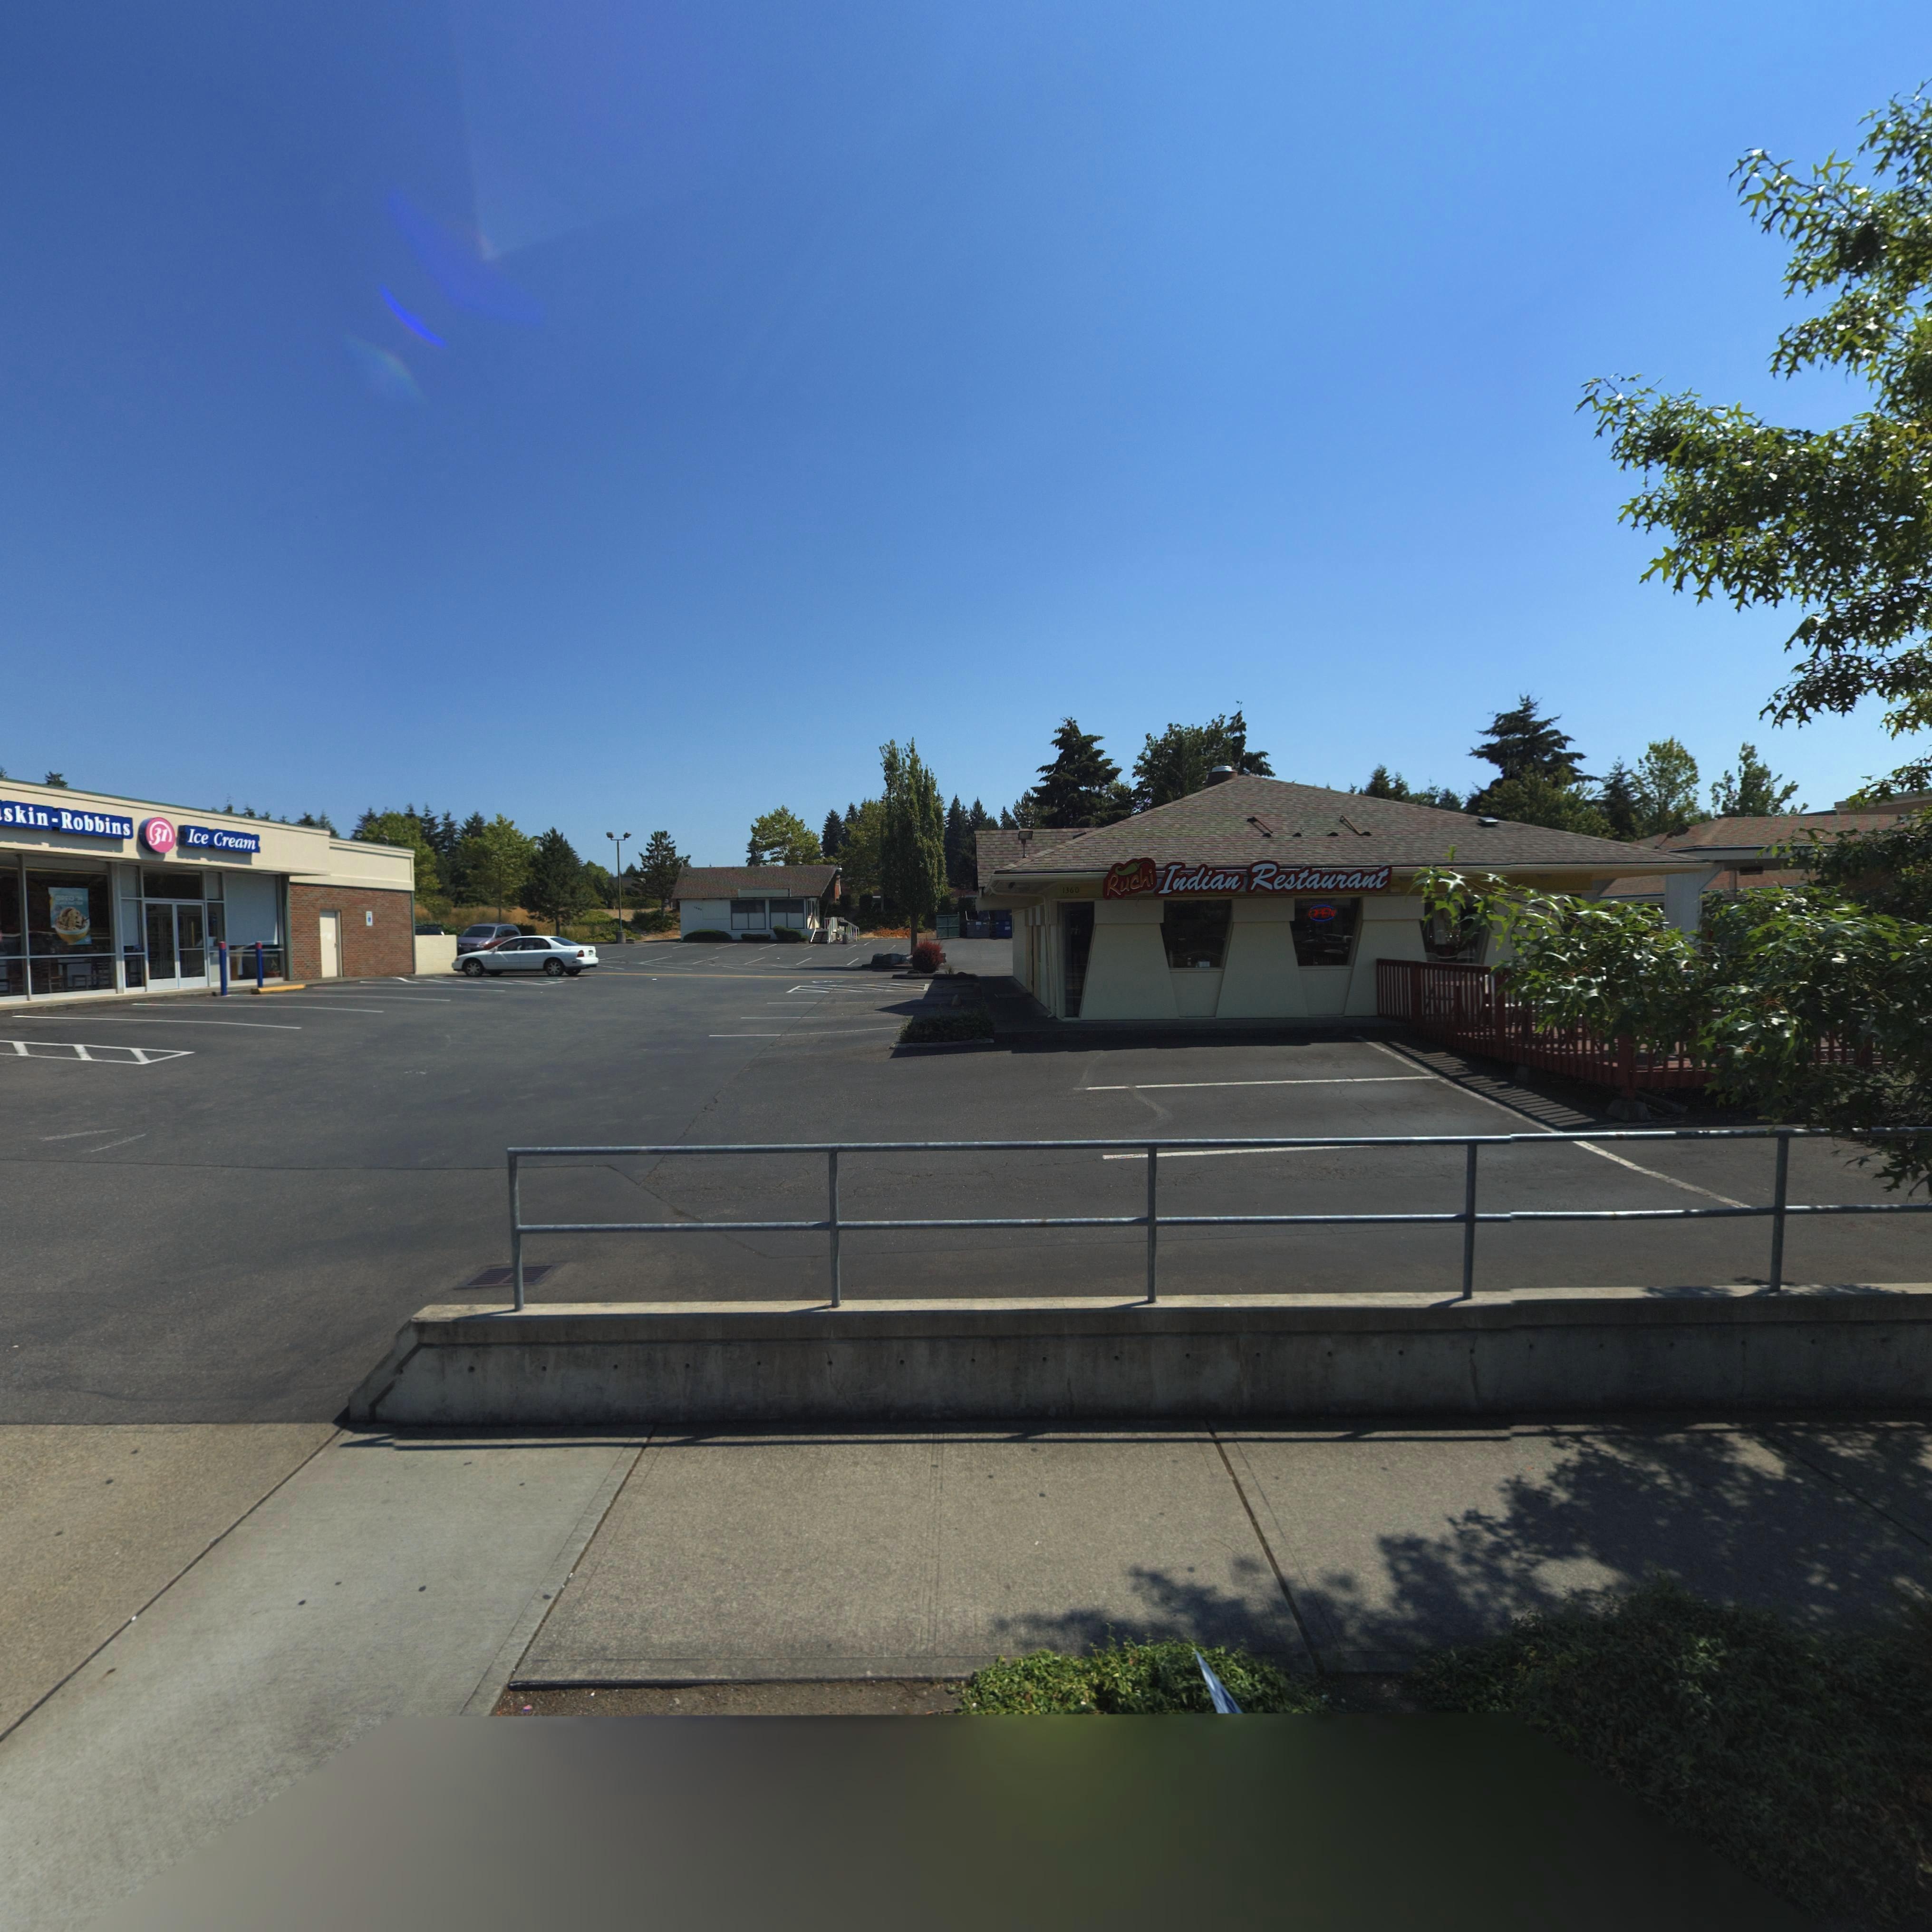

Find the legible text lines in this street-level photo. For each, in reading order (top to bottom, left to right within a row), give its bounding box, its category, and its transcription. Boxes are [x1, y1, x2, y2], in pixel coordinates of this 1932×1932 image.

[2, 804, 132, 836] BusinessName: skin Robbins
[1106, 866, 1153, 896] BusinessName: Ruchi
[1158, 863, 1389, 894] BusinessName: Indian Restaurant